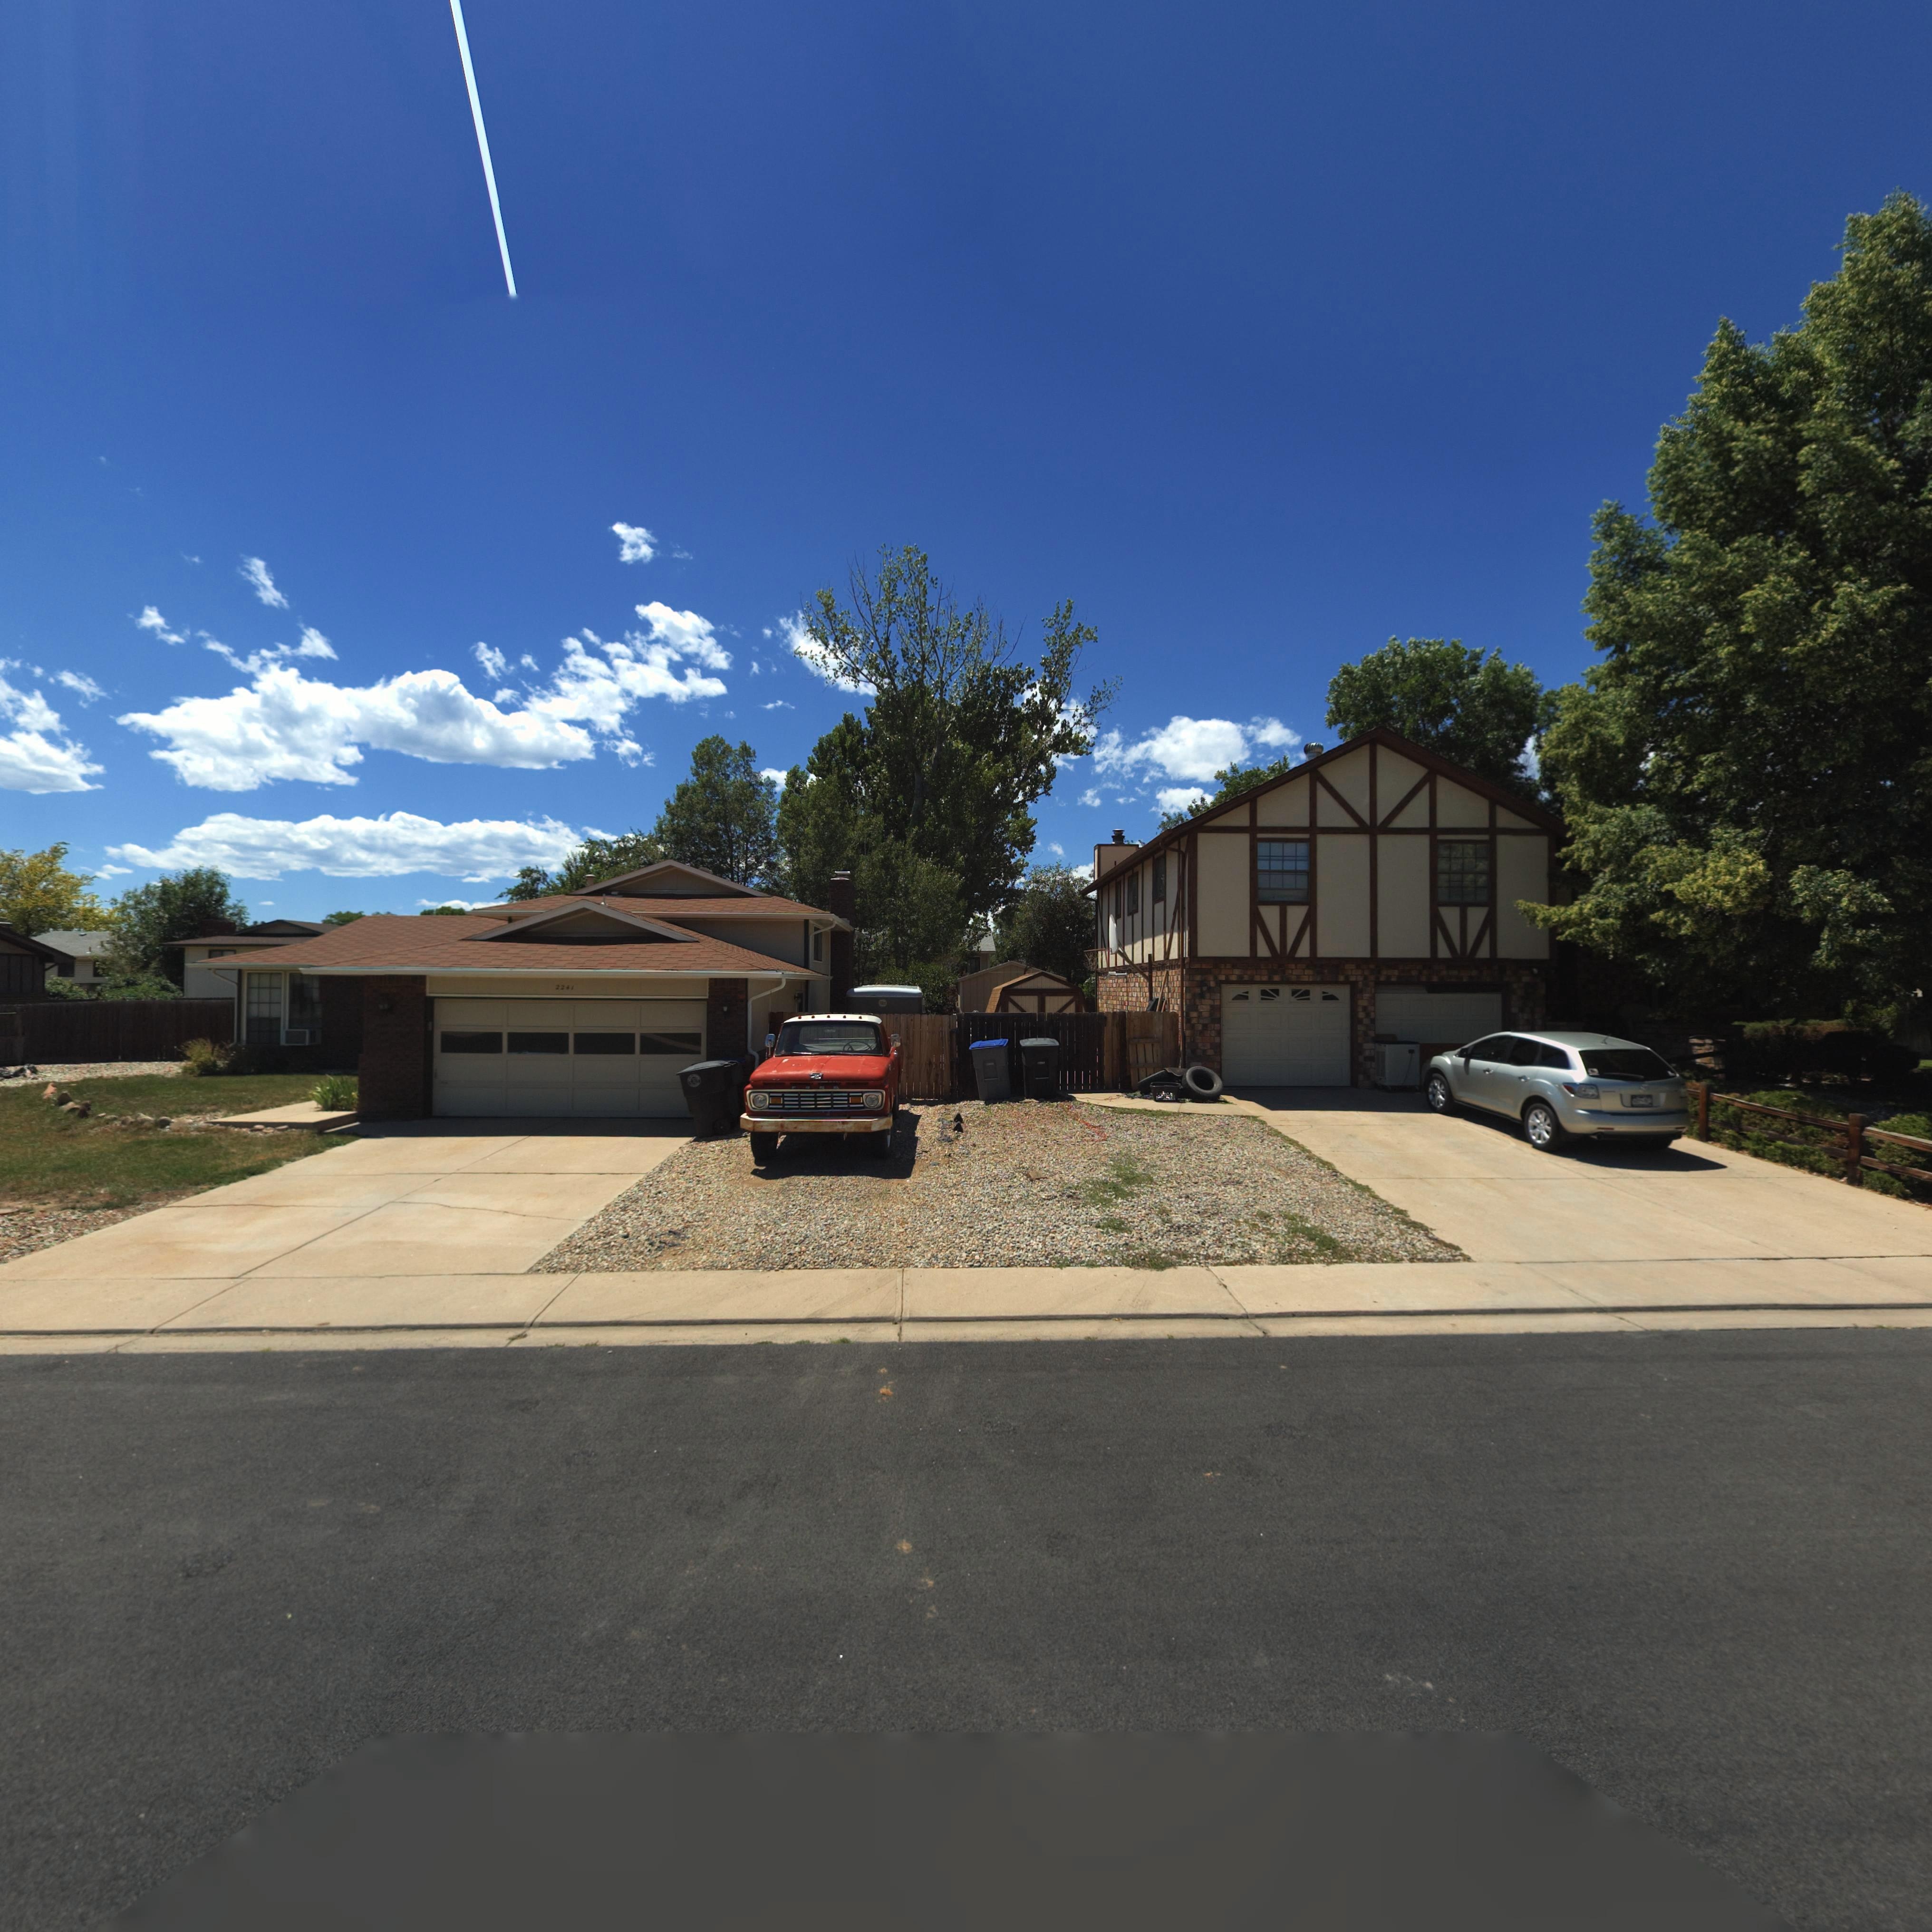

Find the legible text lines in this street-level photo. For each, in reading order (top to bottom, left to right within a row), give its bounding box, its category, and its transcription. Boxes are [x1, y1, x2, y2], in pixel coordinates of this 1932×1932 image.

[555, 984, 574, 990] StreetNumber: 2241